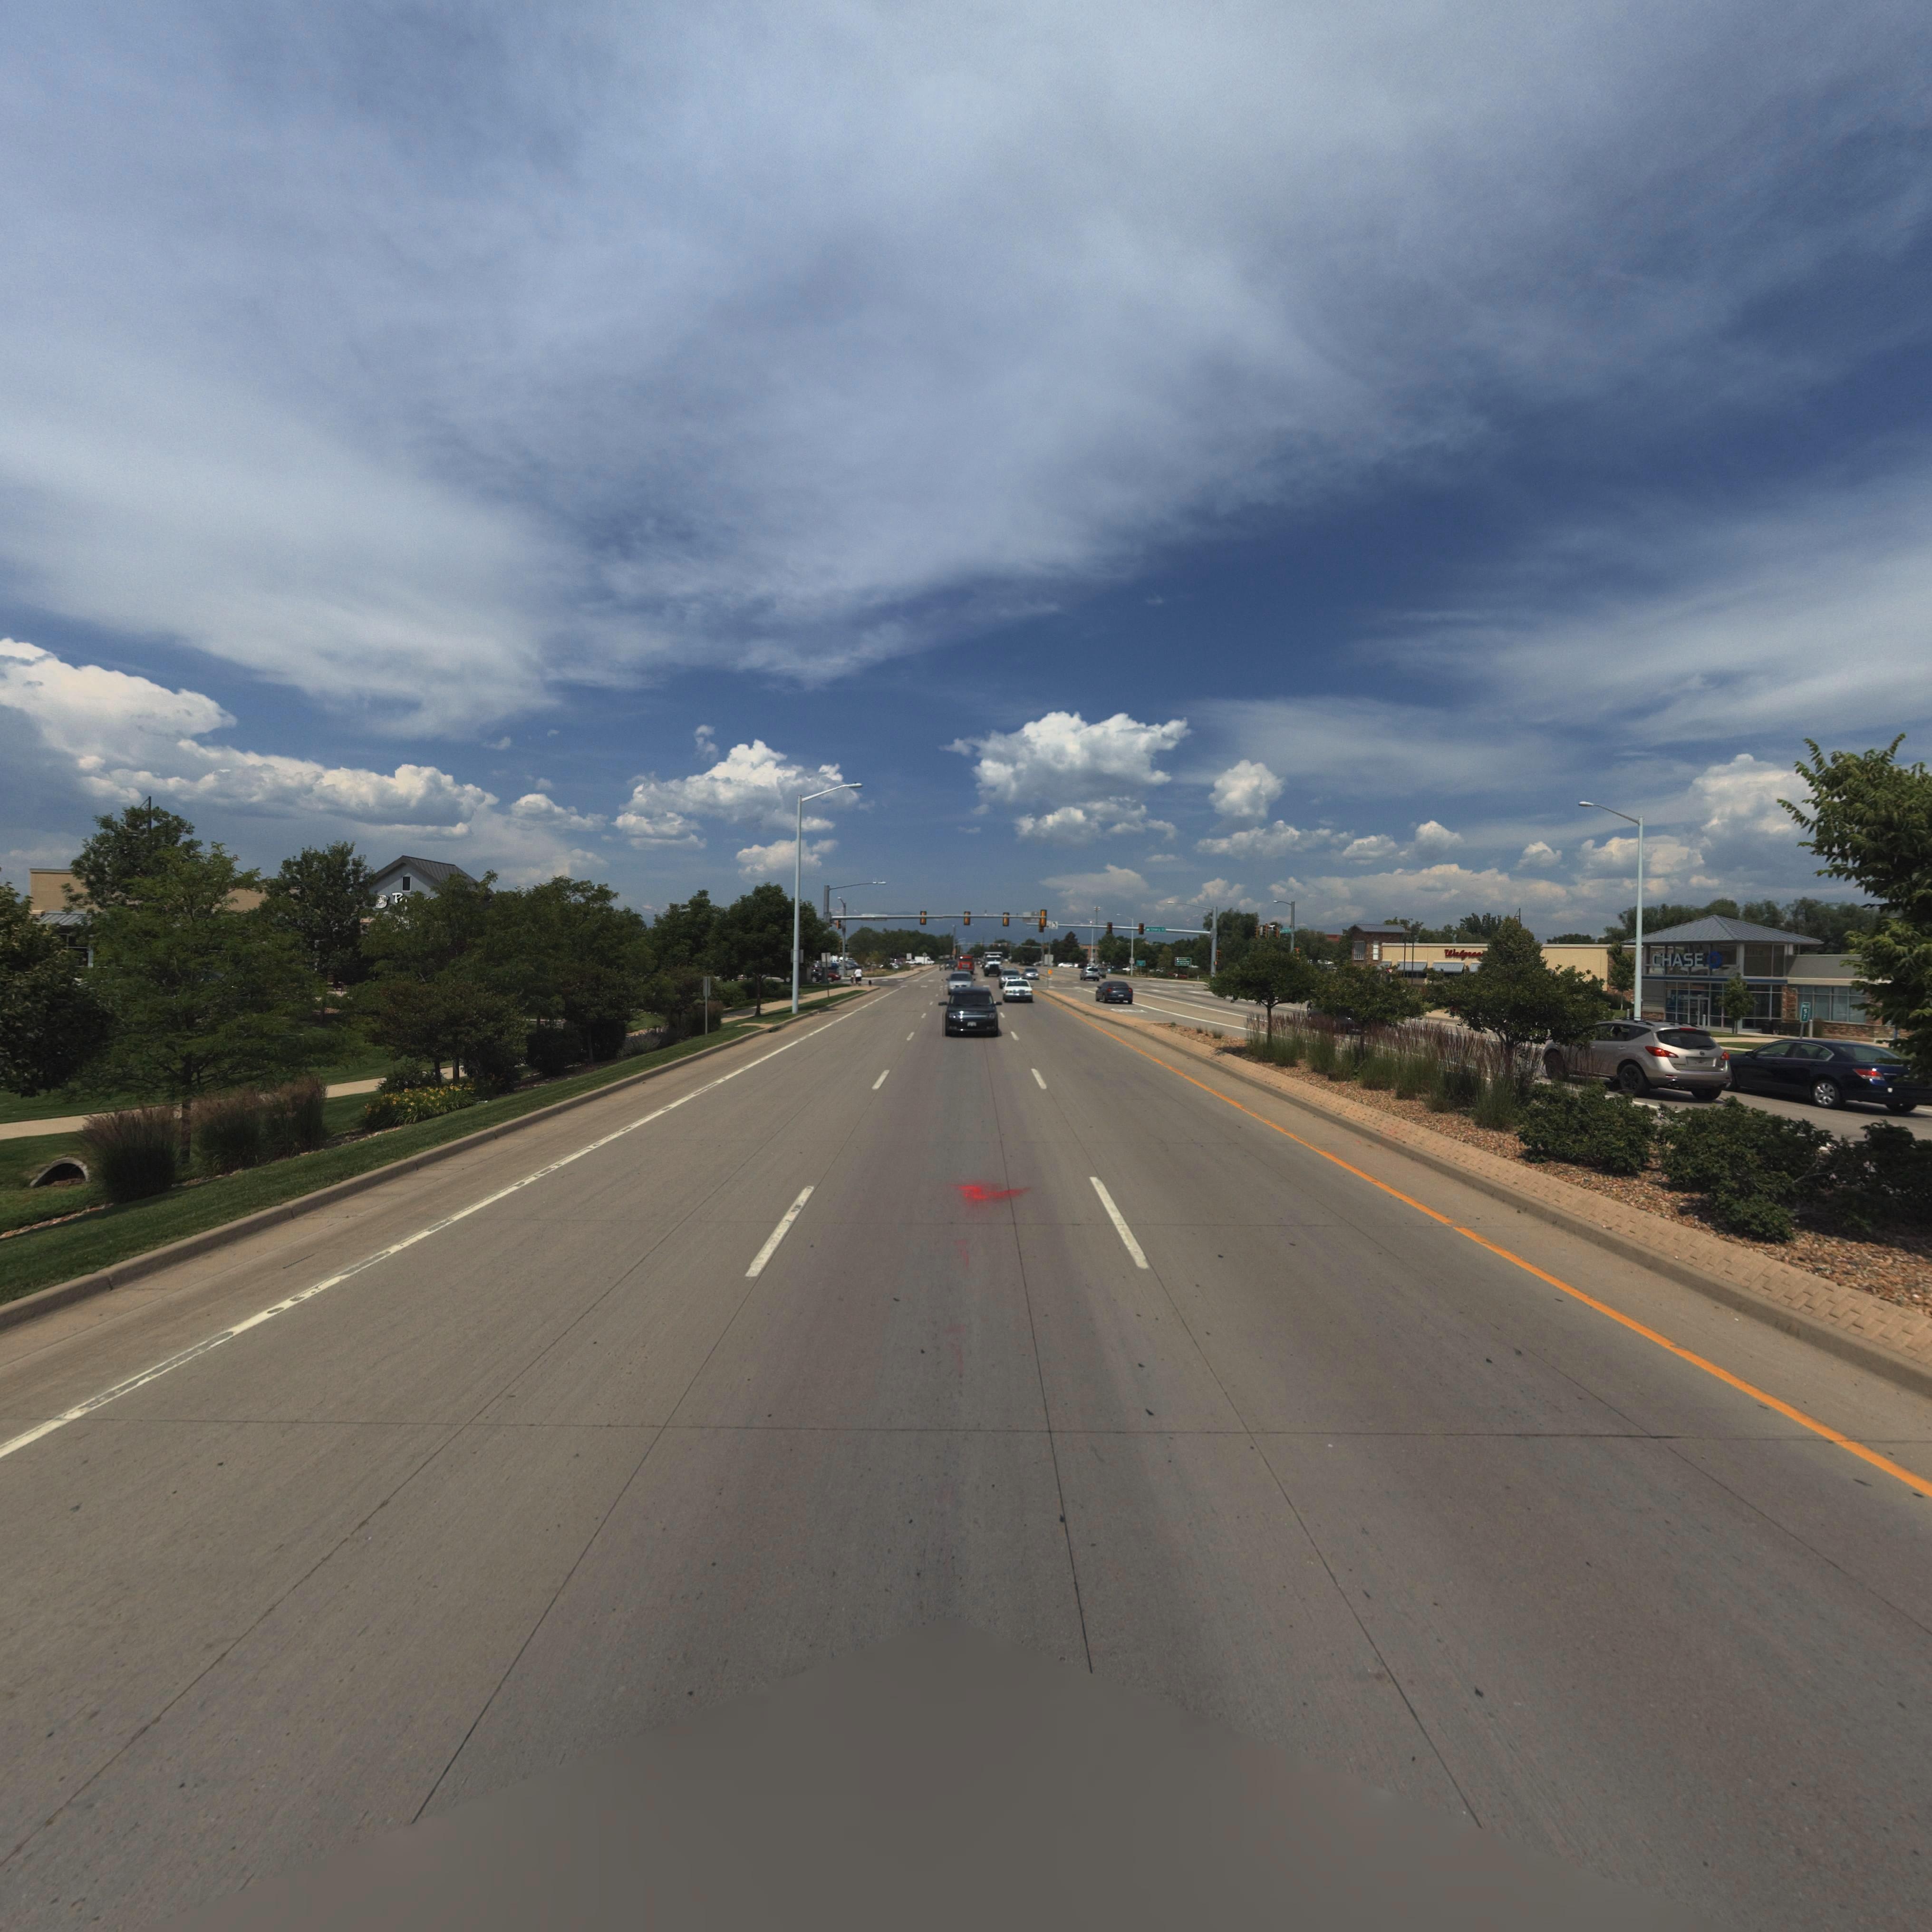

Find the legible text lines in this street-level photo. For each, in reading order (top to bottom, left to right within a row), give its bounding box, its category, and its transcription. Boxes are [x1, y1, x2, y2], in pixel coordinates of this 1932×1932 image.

[391, 891, 404, 904] BusinessName: P
[1444, 948, 1481, 959] BusinessName: Walgree
[1651, 952, 1704, 967] BusinessName: CHASE